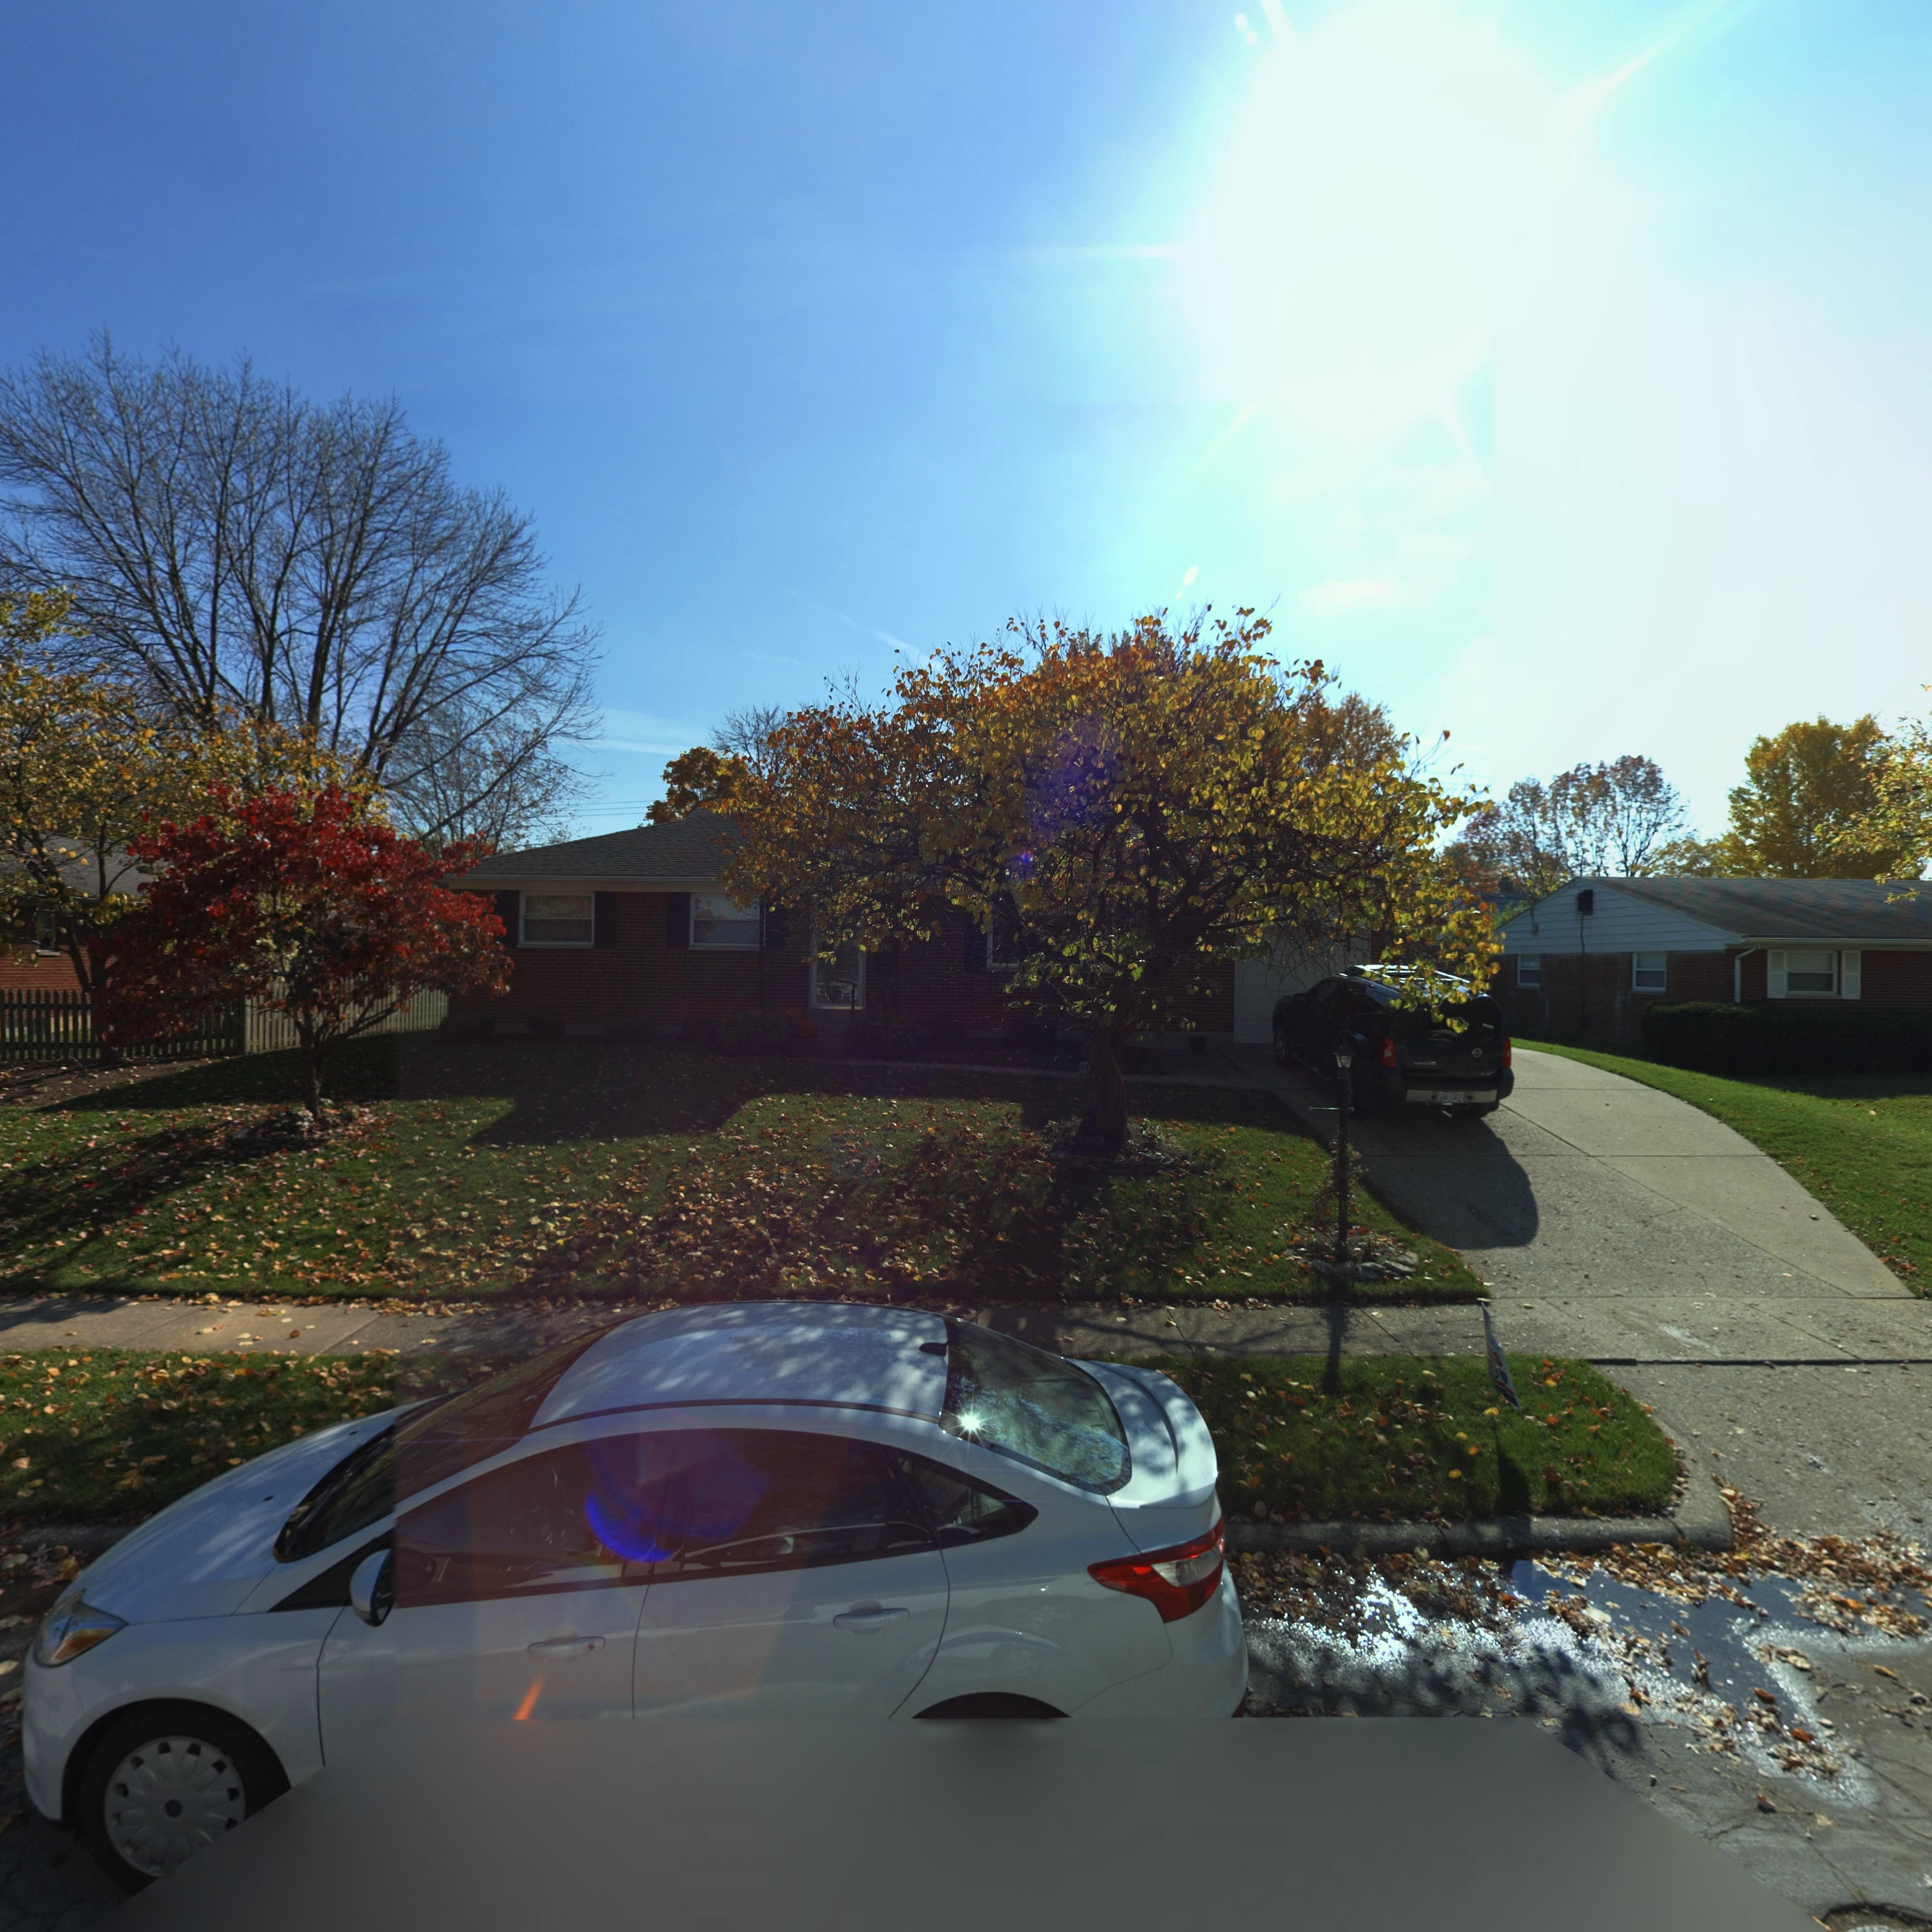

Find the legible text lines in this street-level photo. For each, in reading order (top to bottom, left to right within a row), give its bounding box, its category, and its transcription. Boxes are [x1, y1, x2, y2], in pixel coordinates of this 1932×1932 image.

[1449, 1092, 1463, 1101] None: 1327